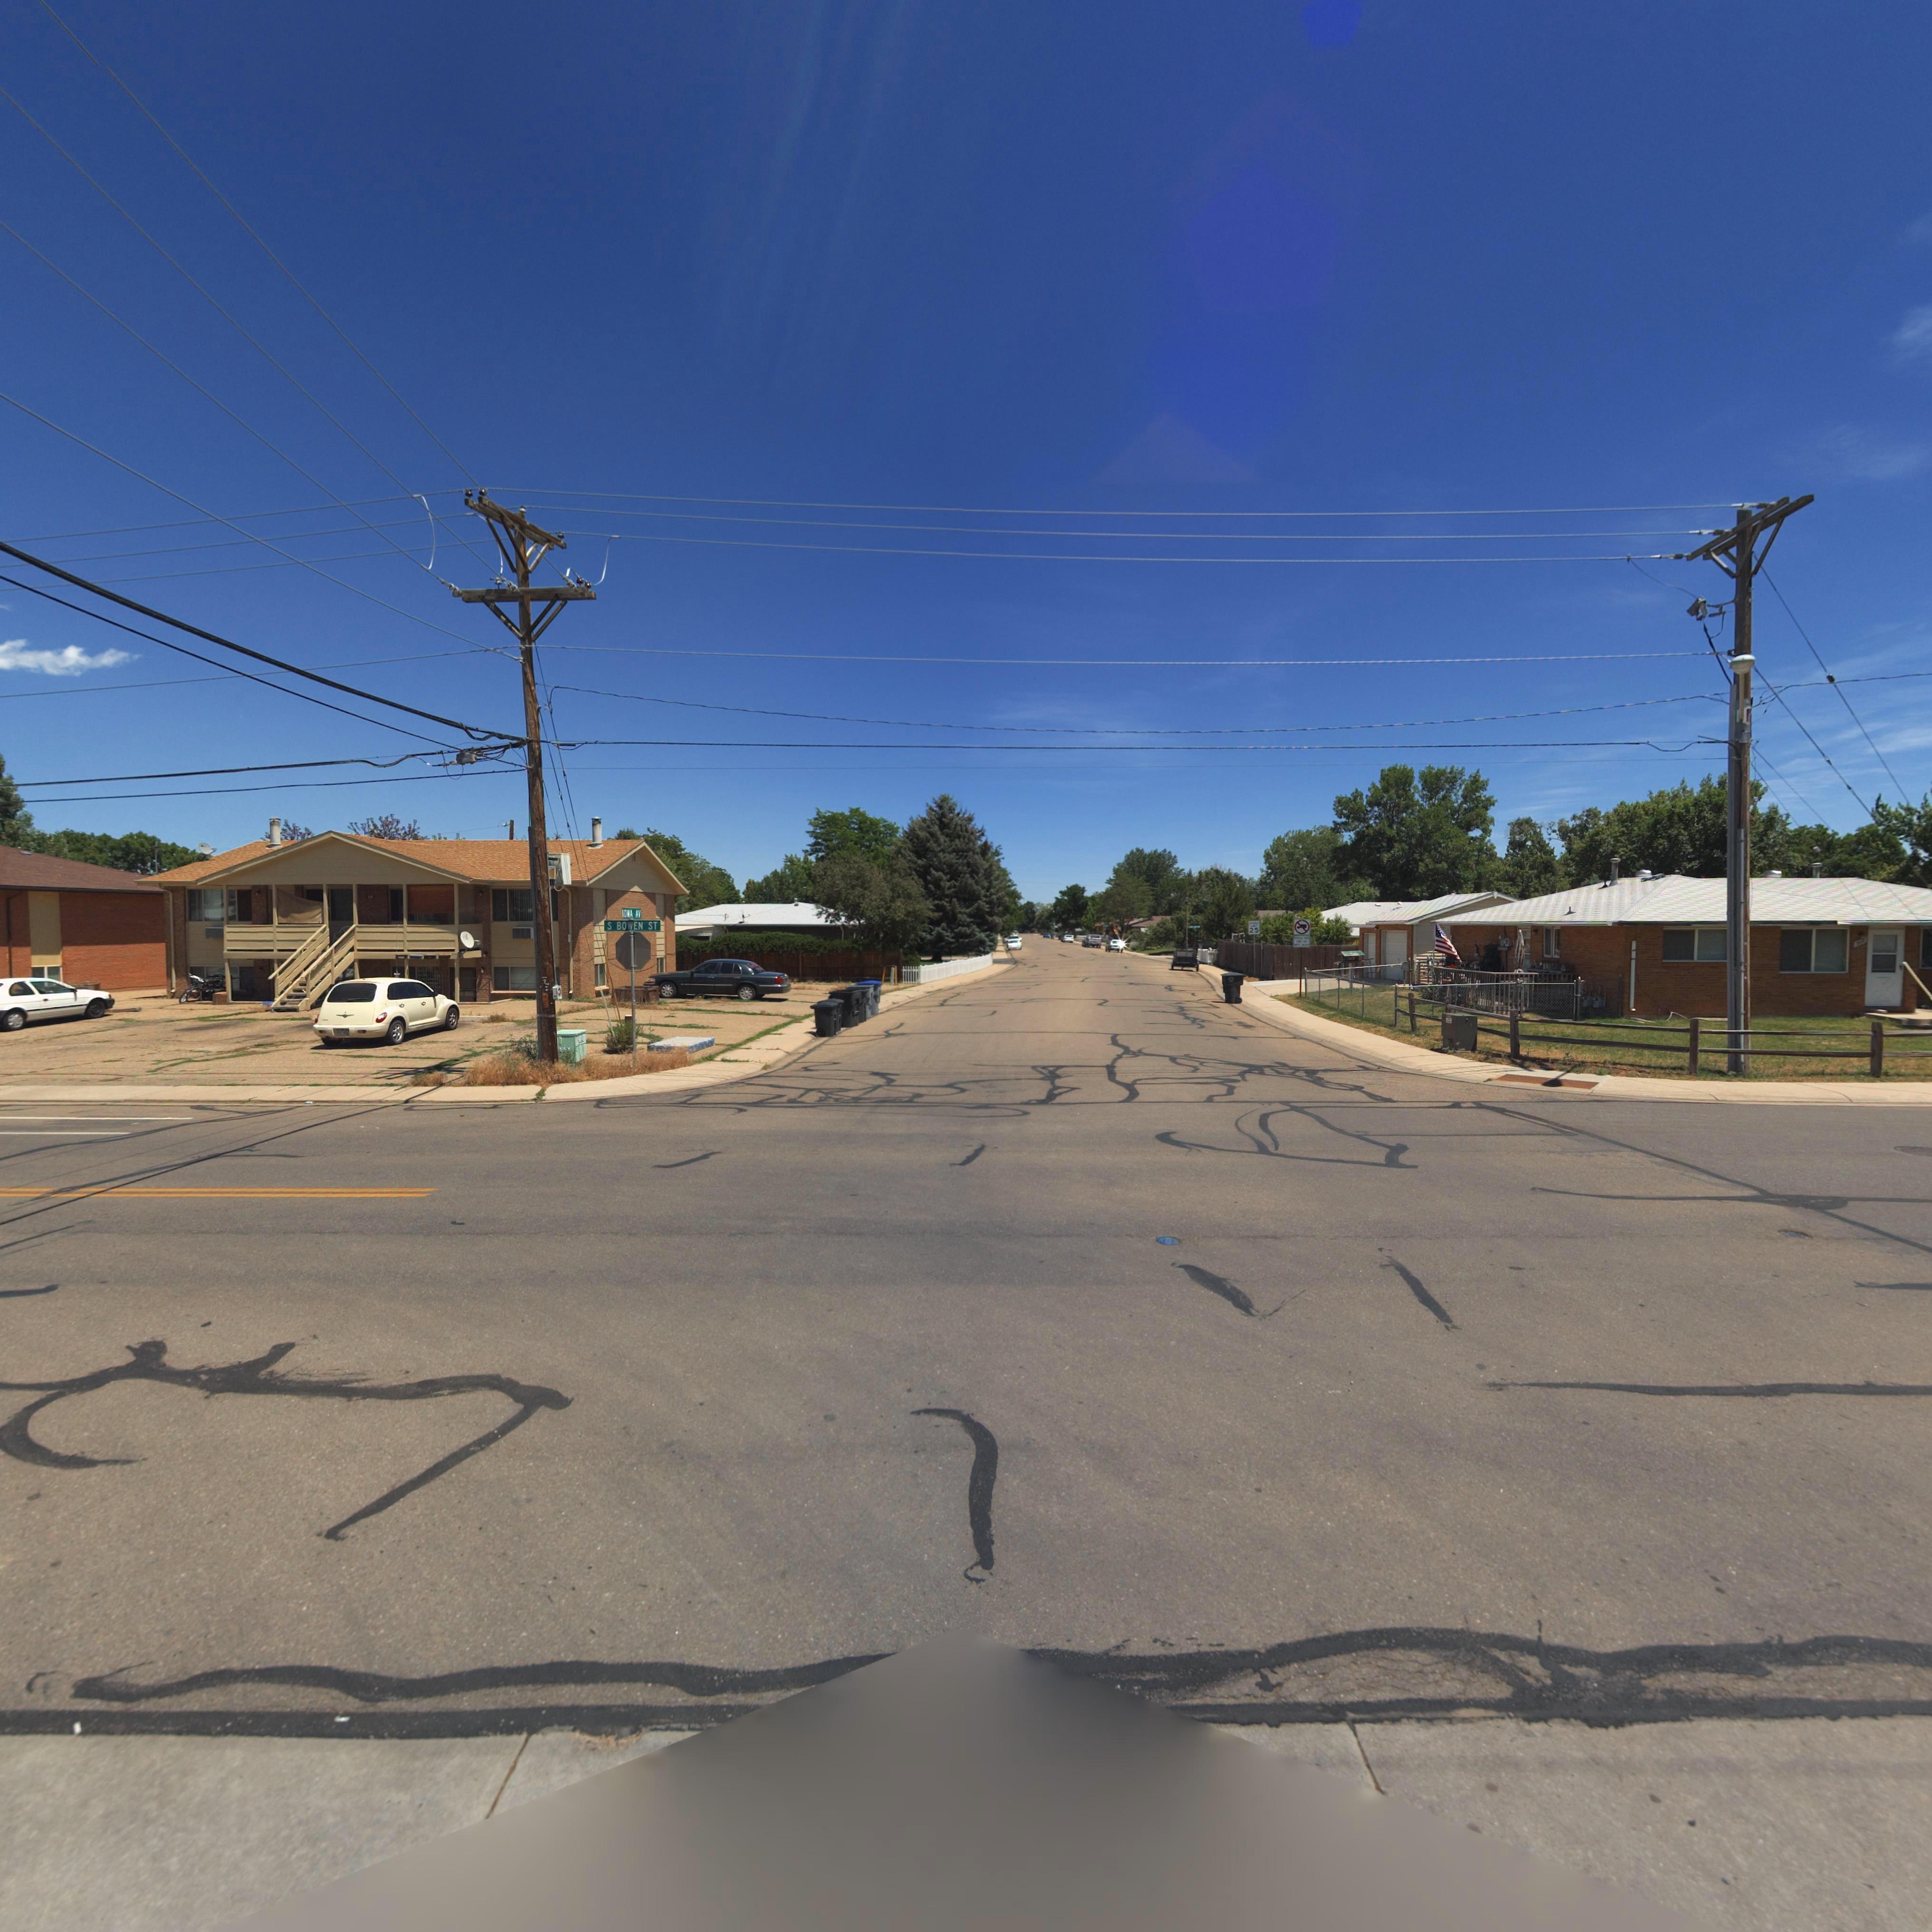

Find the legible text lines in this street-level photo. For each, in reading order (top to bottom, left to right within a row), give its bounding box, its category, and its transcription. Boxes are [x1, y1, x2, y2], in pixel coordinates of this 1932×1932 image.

[622, 909, 641, 918] StreetName: IOWA AV
[607, 921, 657, 930] StreetName: S BOWEN ST